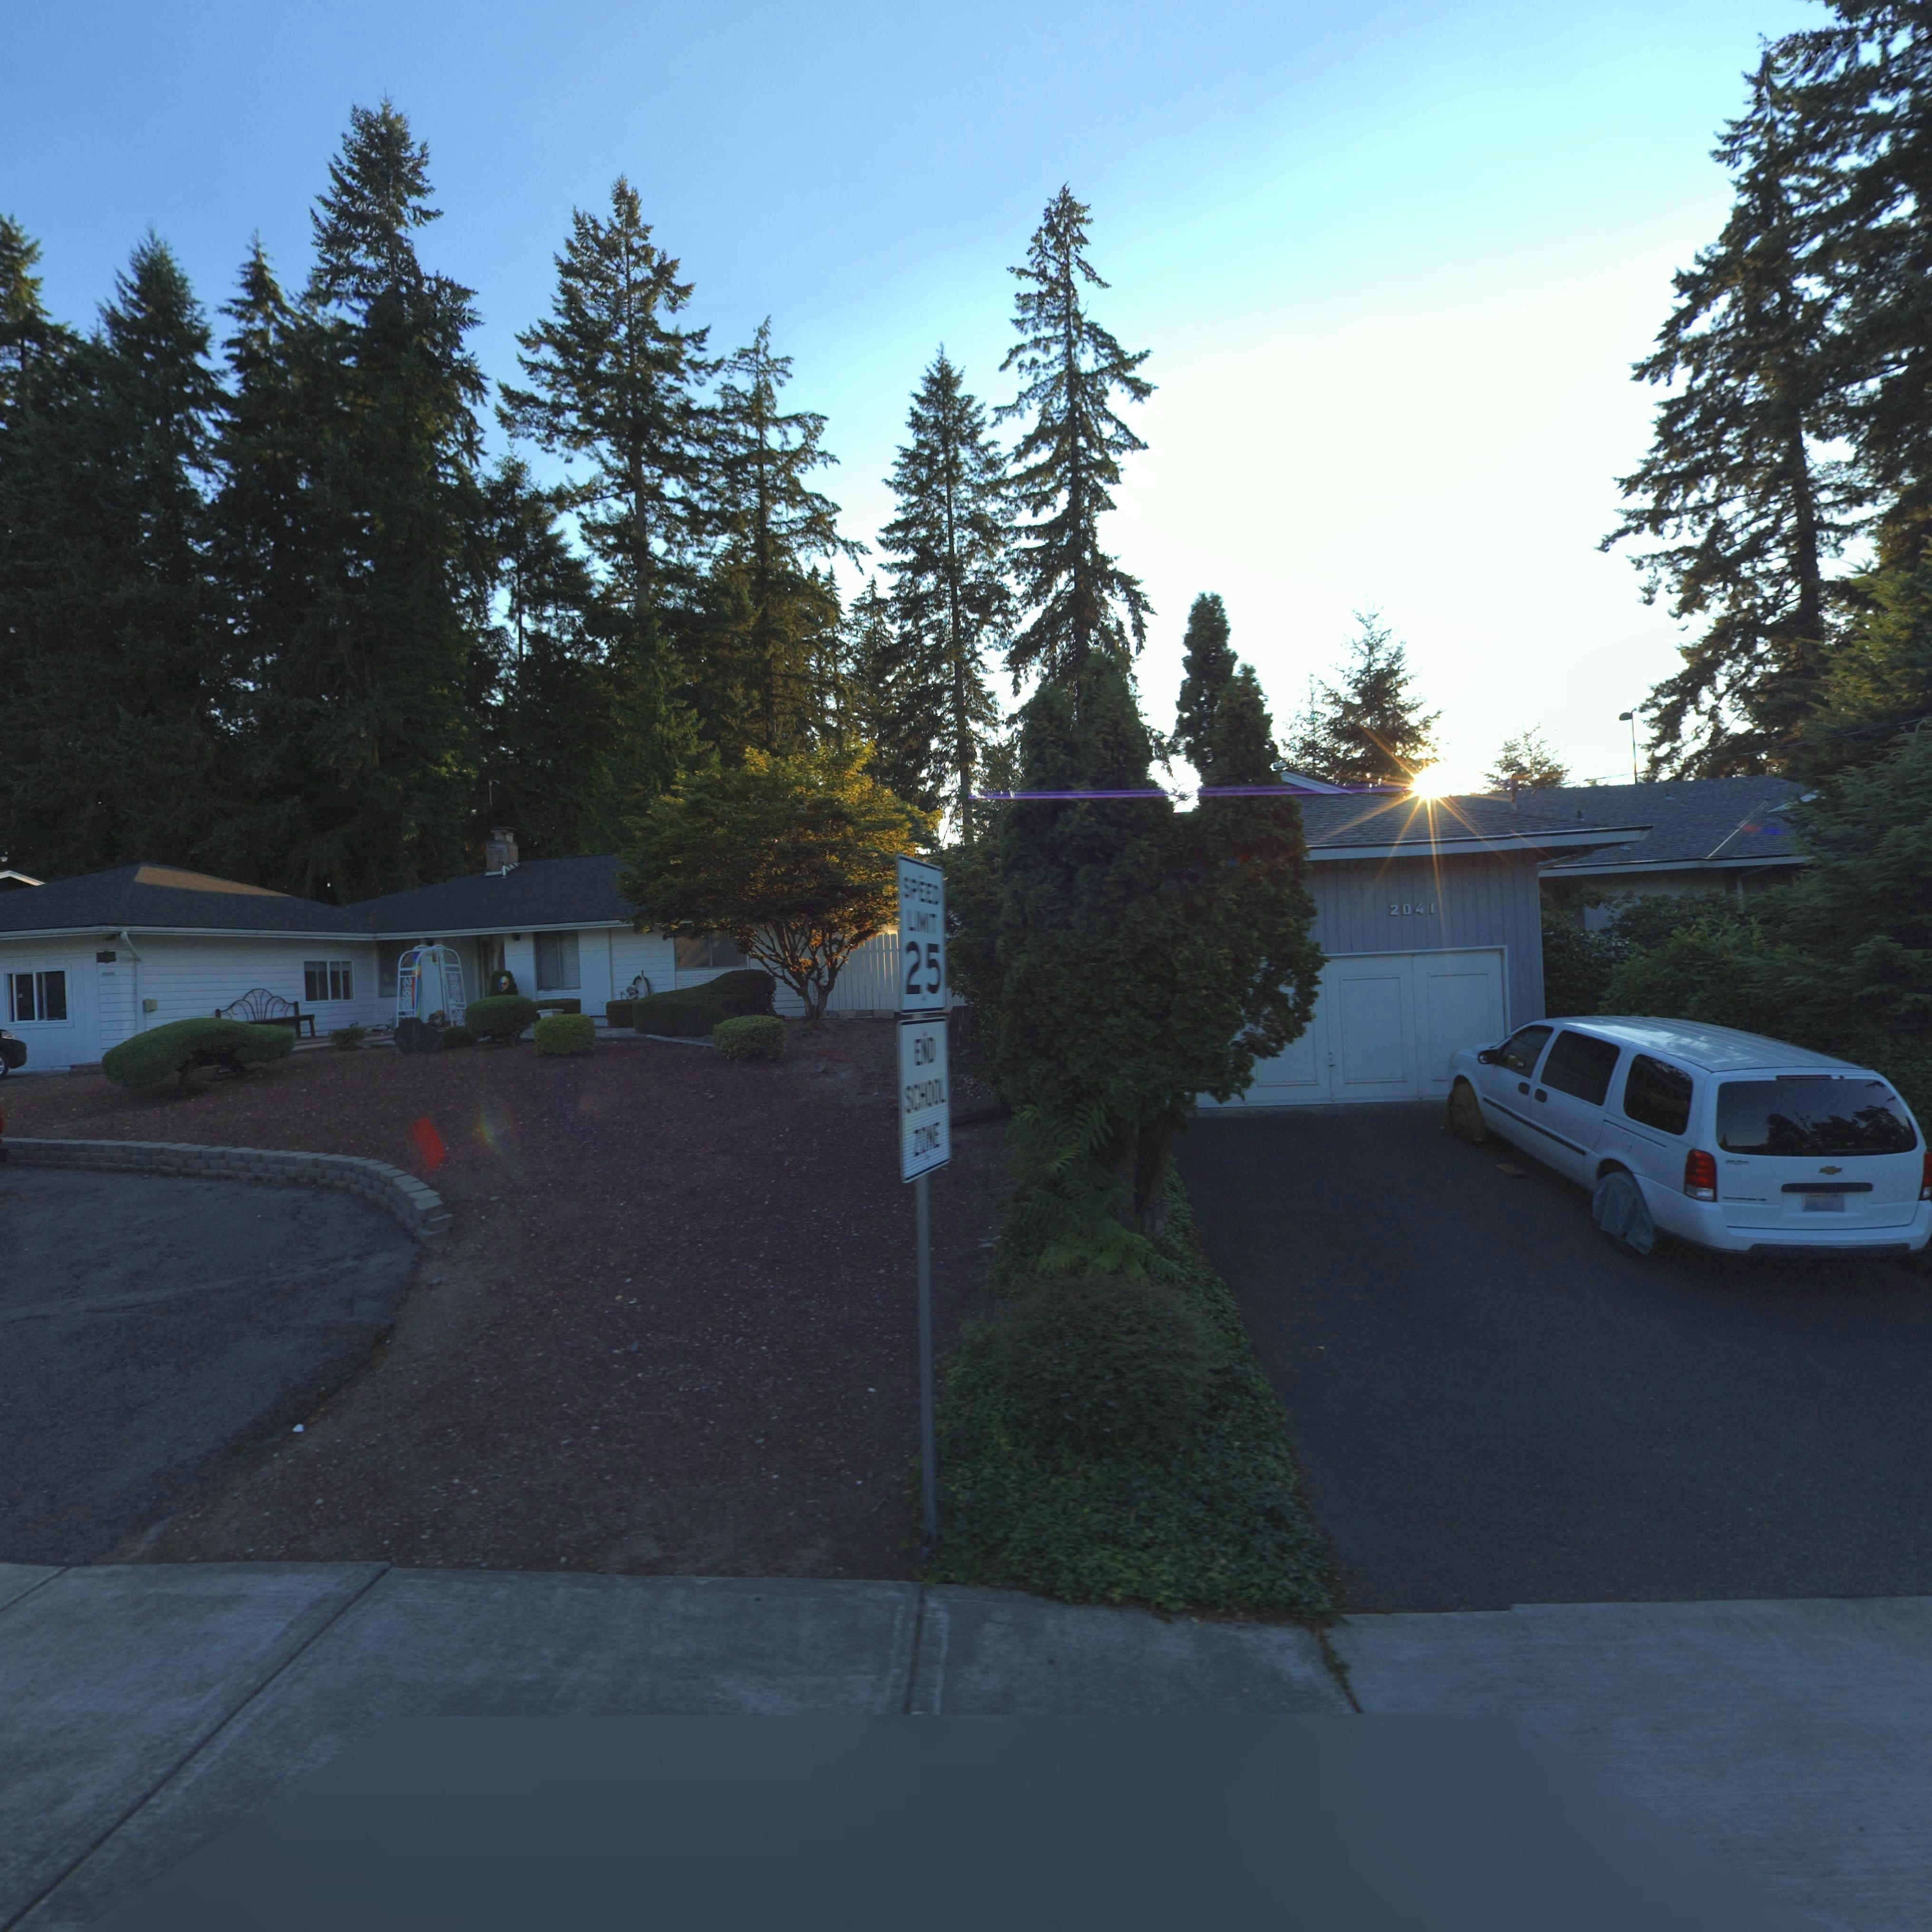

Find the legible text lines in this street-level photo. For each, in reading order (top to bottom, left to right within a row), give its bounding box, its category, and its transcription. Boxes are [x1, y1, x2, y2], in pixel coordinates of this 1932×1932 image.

[1391, 903, 1436, 916] StreetNumber: 2041